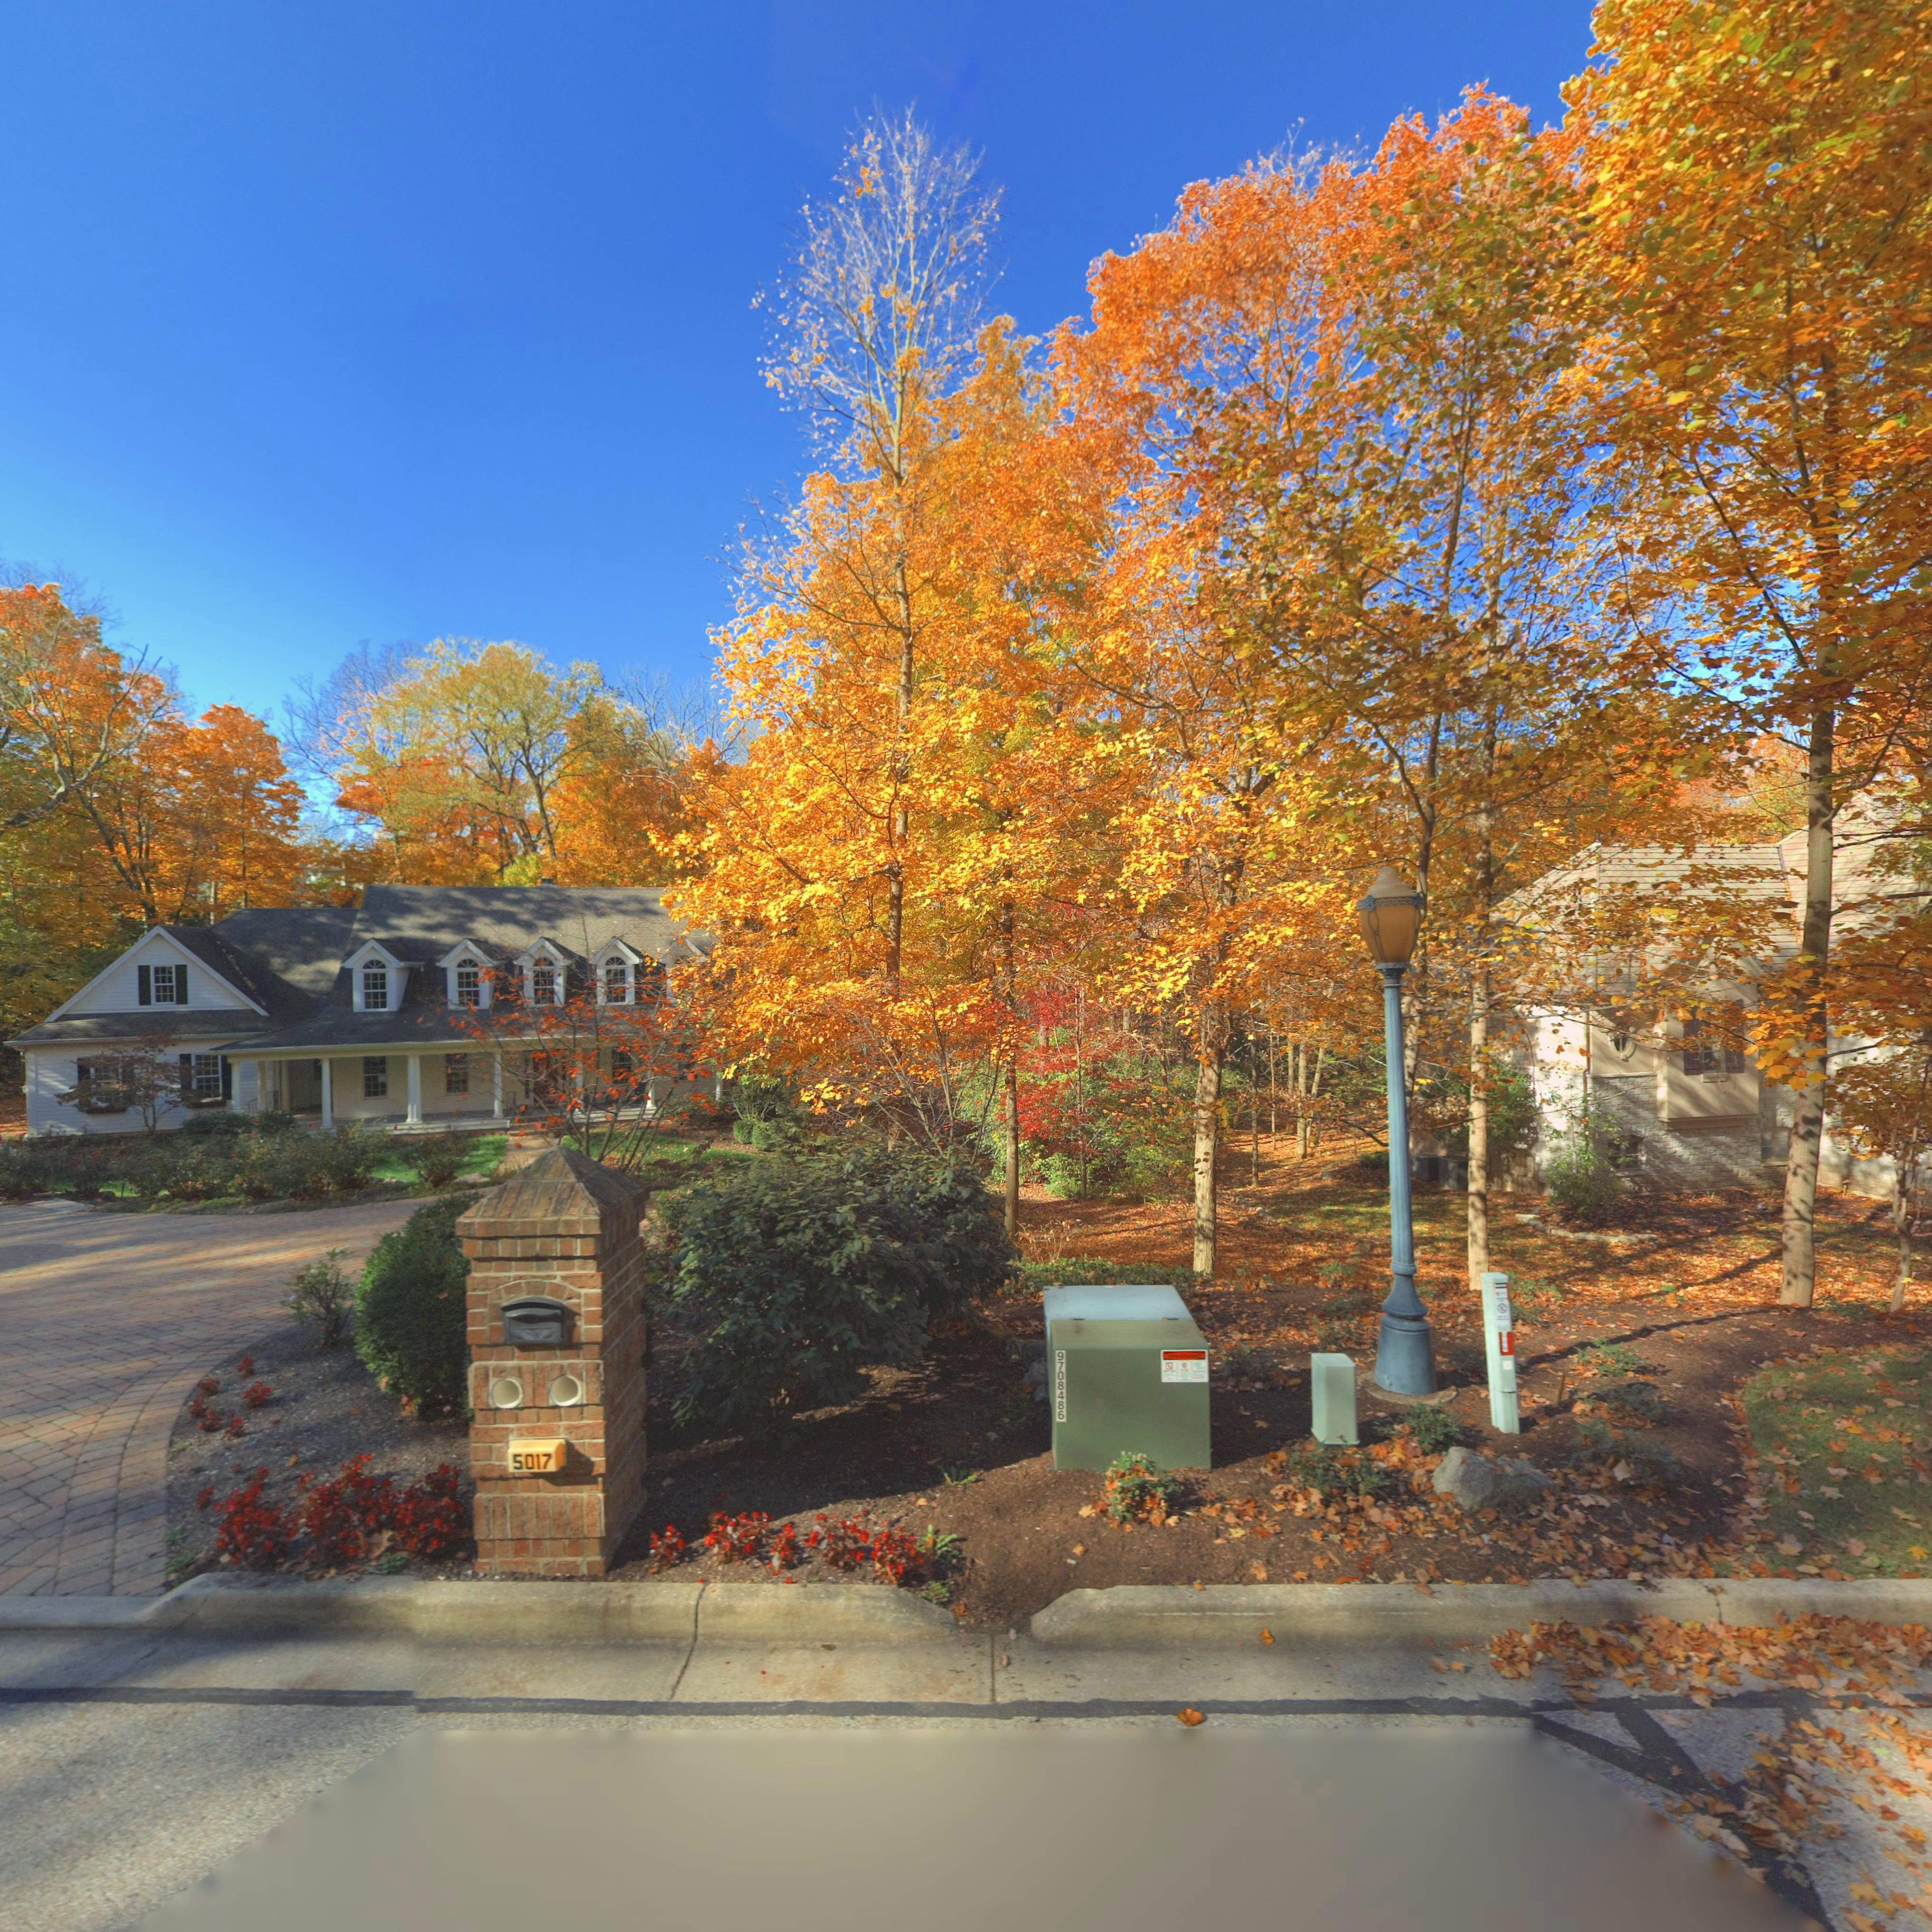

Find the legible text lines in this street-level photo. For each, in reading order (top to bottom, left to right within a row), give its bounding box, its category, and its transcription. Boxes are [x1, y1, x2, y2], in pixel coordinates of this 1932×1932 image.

[511, 1452, 553, 1471] StreetNumber: 5017